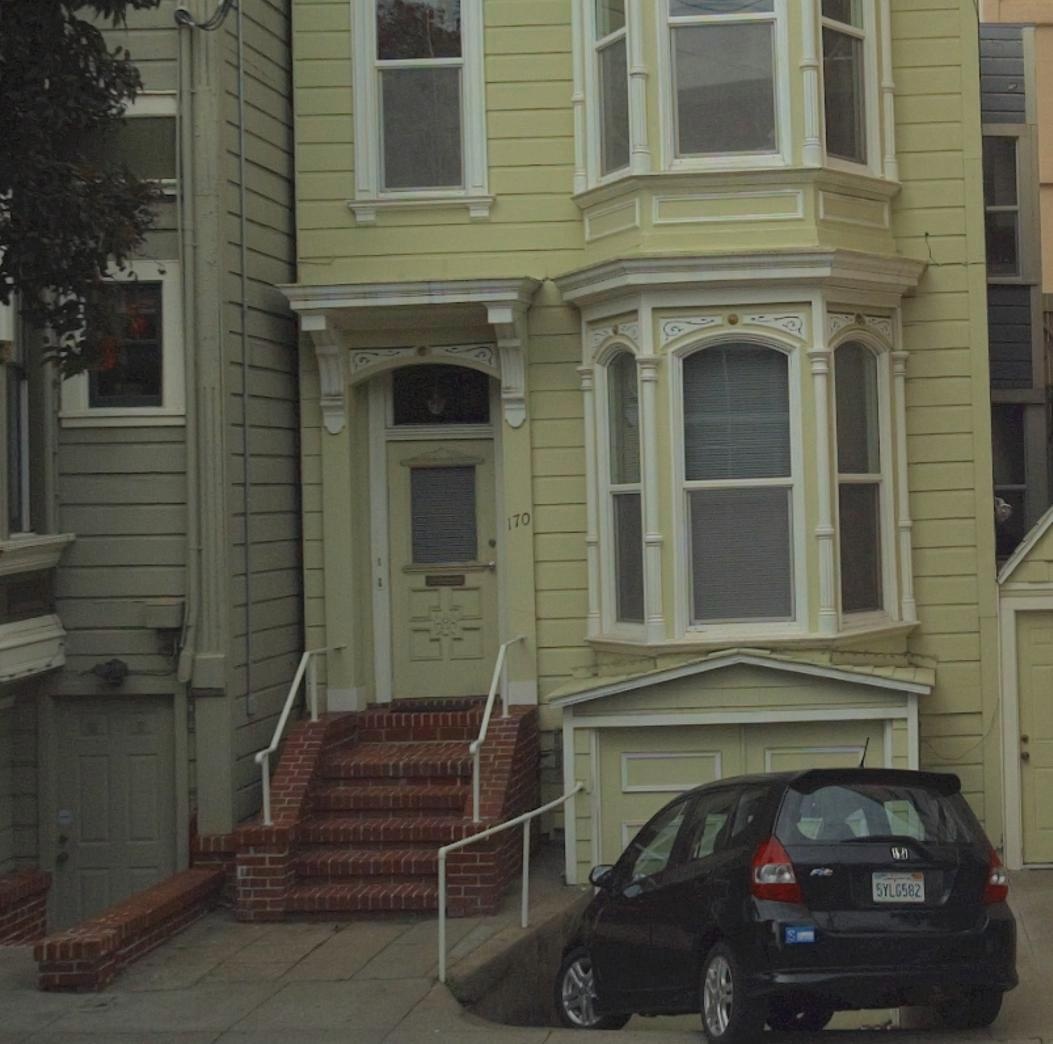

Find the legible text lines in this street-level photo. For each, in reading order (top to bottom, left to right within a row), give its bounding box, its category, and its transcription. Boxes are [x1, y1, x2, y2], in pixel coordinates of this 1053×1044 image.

[505, 510, 532, 533] StreetNumber: 170
[874, 882, 923, 899] None: 5YLG582
[786, 928, 797, 944] None: S